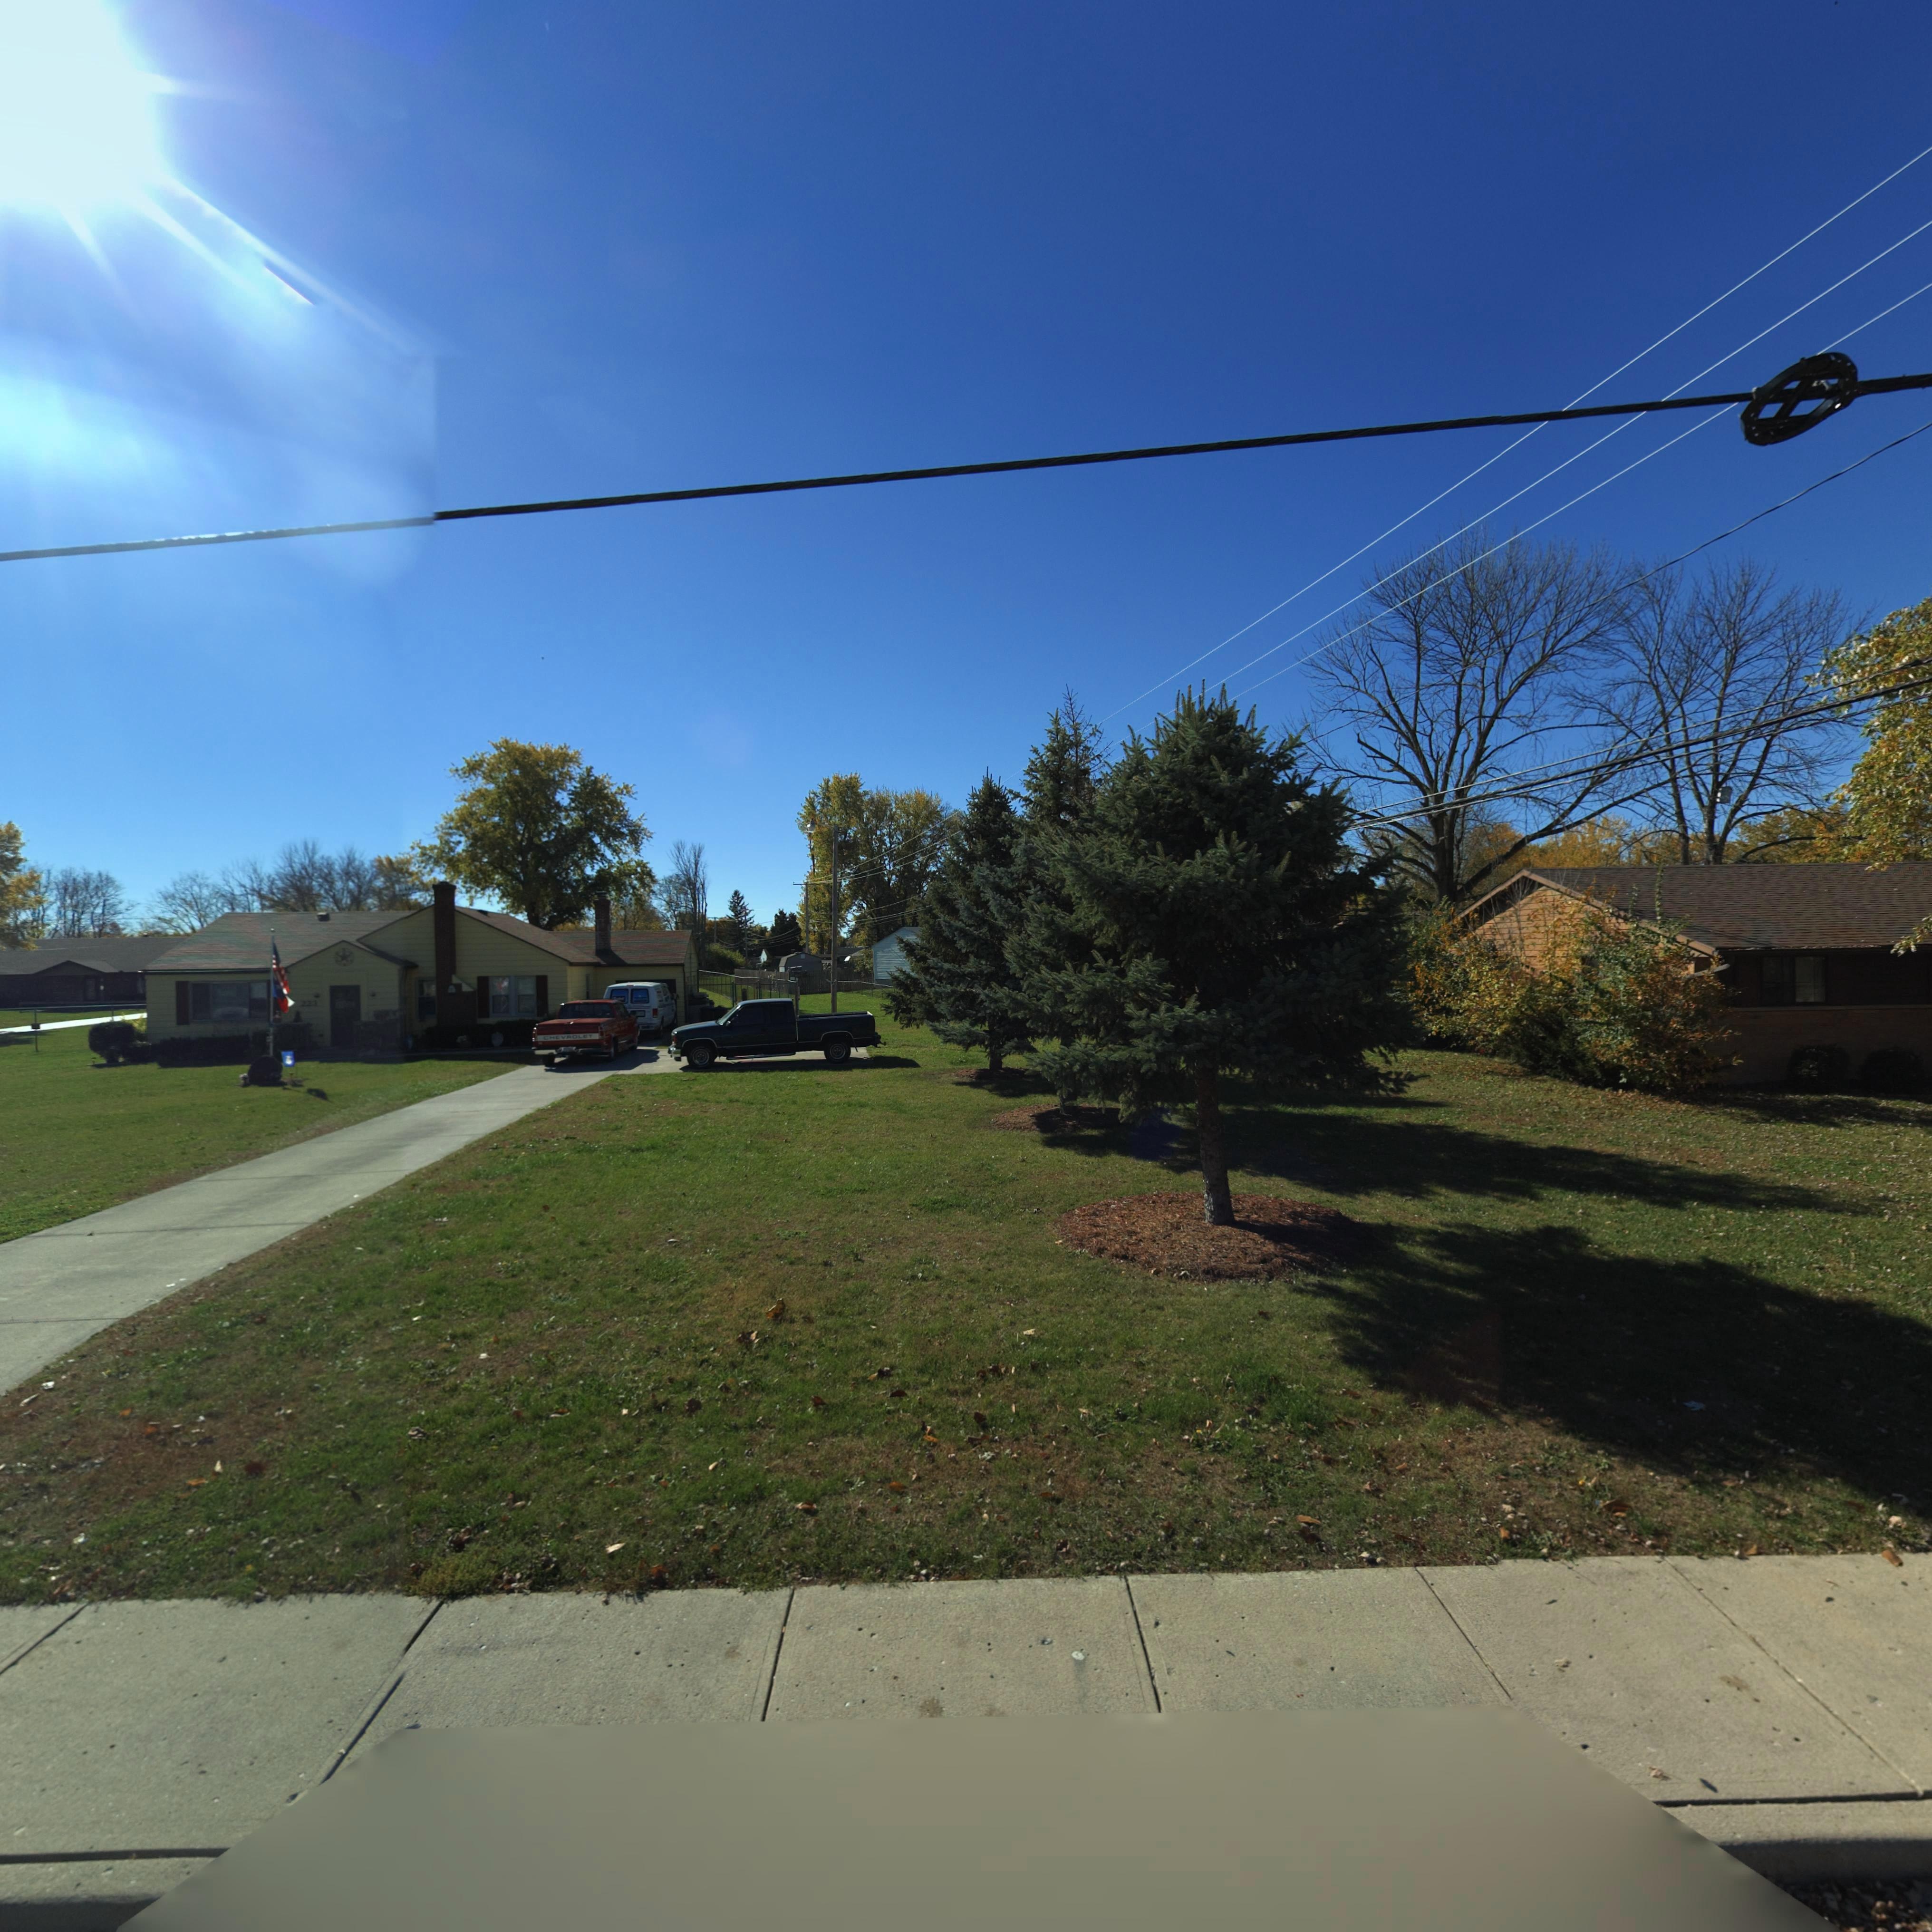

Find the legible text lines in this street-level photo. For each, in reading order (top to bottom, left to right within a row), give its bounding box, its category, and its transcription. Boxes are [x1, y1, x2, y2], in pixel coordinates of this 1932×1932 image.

[299, 999, 319, 1007] StreetNumber: 223
[542, 1034, 594, 1040] None: CH*VROL*T